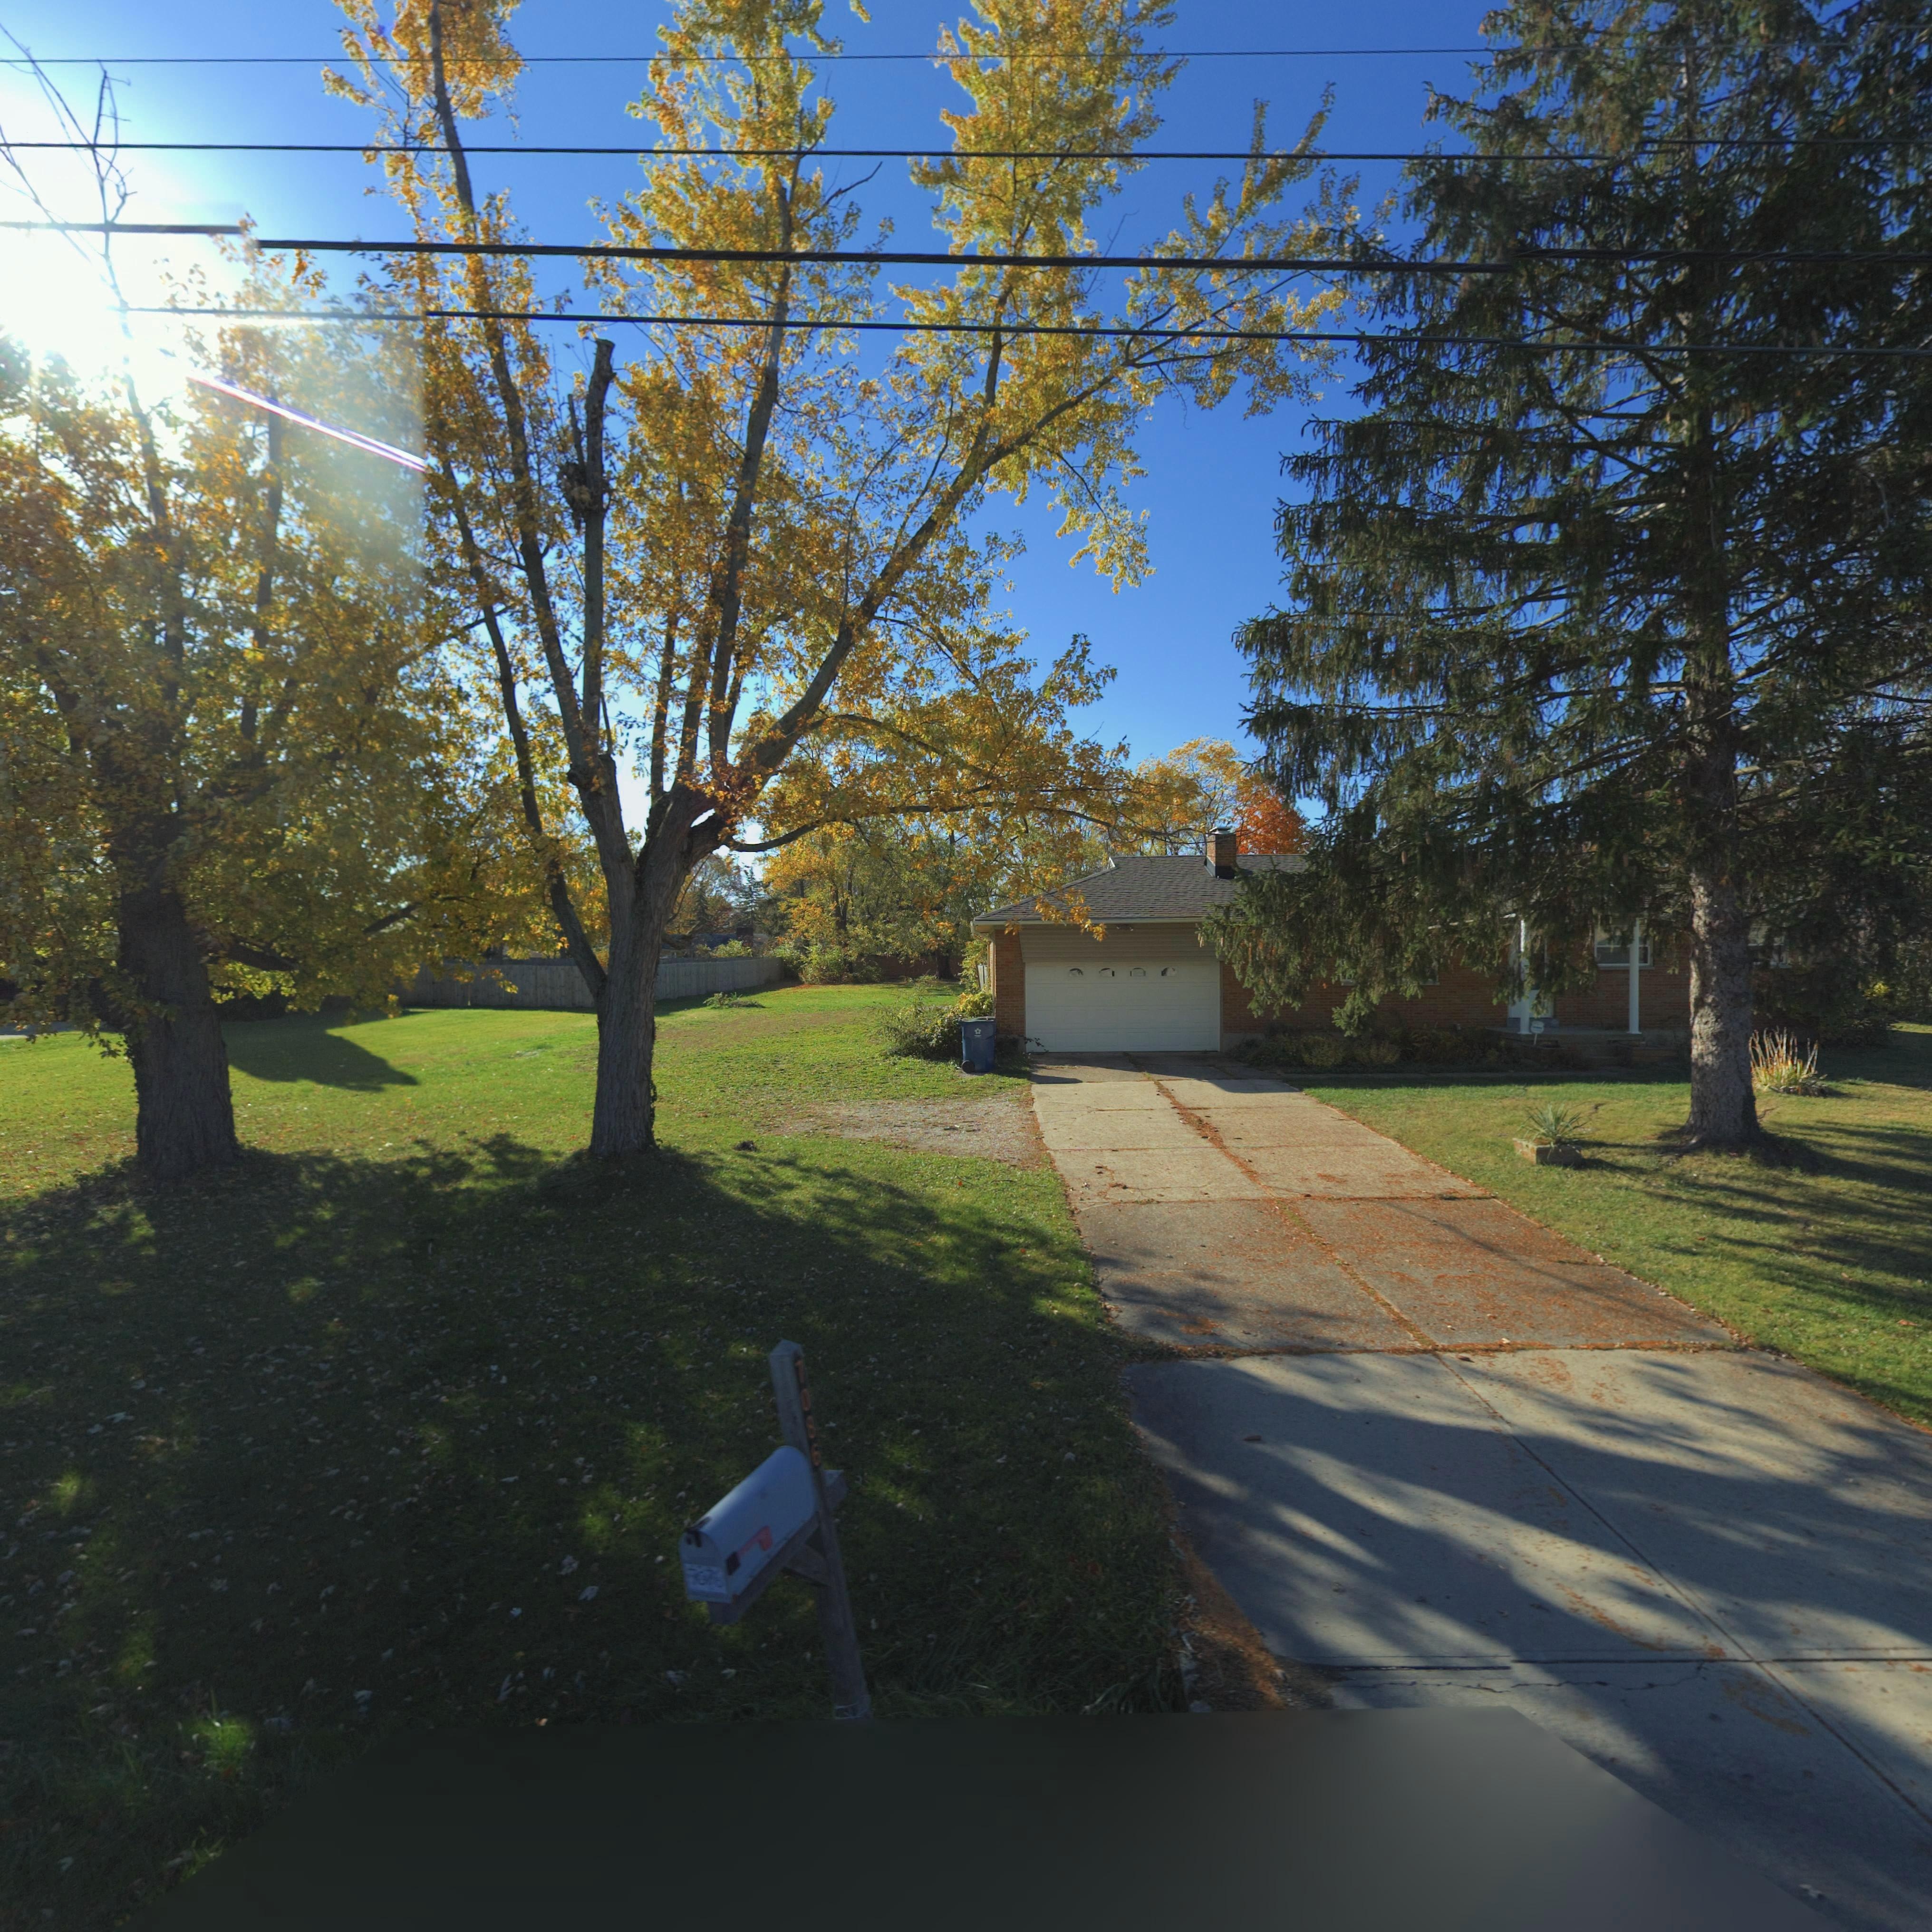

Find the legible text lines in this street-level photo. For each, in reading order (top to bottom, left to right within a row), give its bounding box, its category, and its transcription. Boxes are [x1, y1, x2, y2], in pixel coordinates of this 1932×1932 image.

[792, 1356, 823, 1470] StreetNumber: 7086
[686, 1566, 726, 1592] StreetNumber: 7***